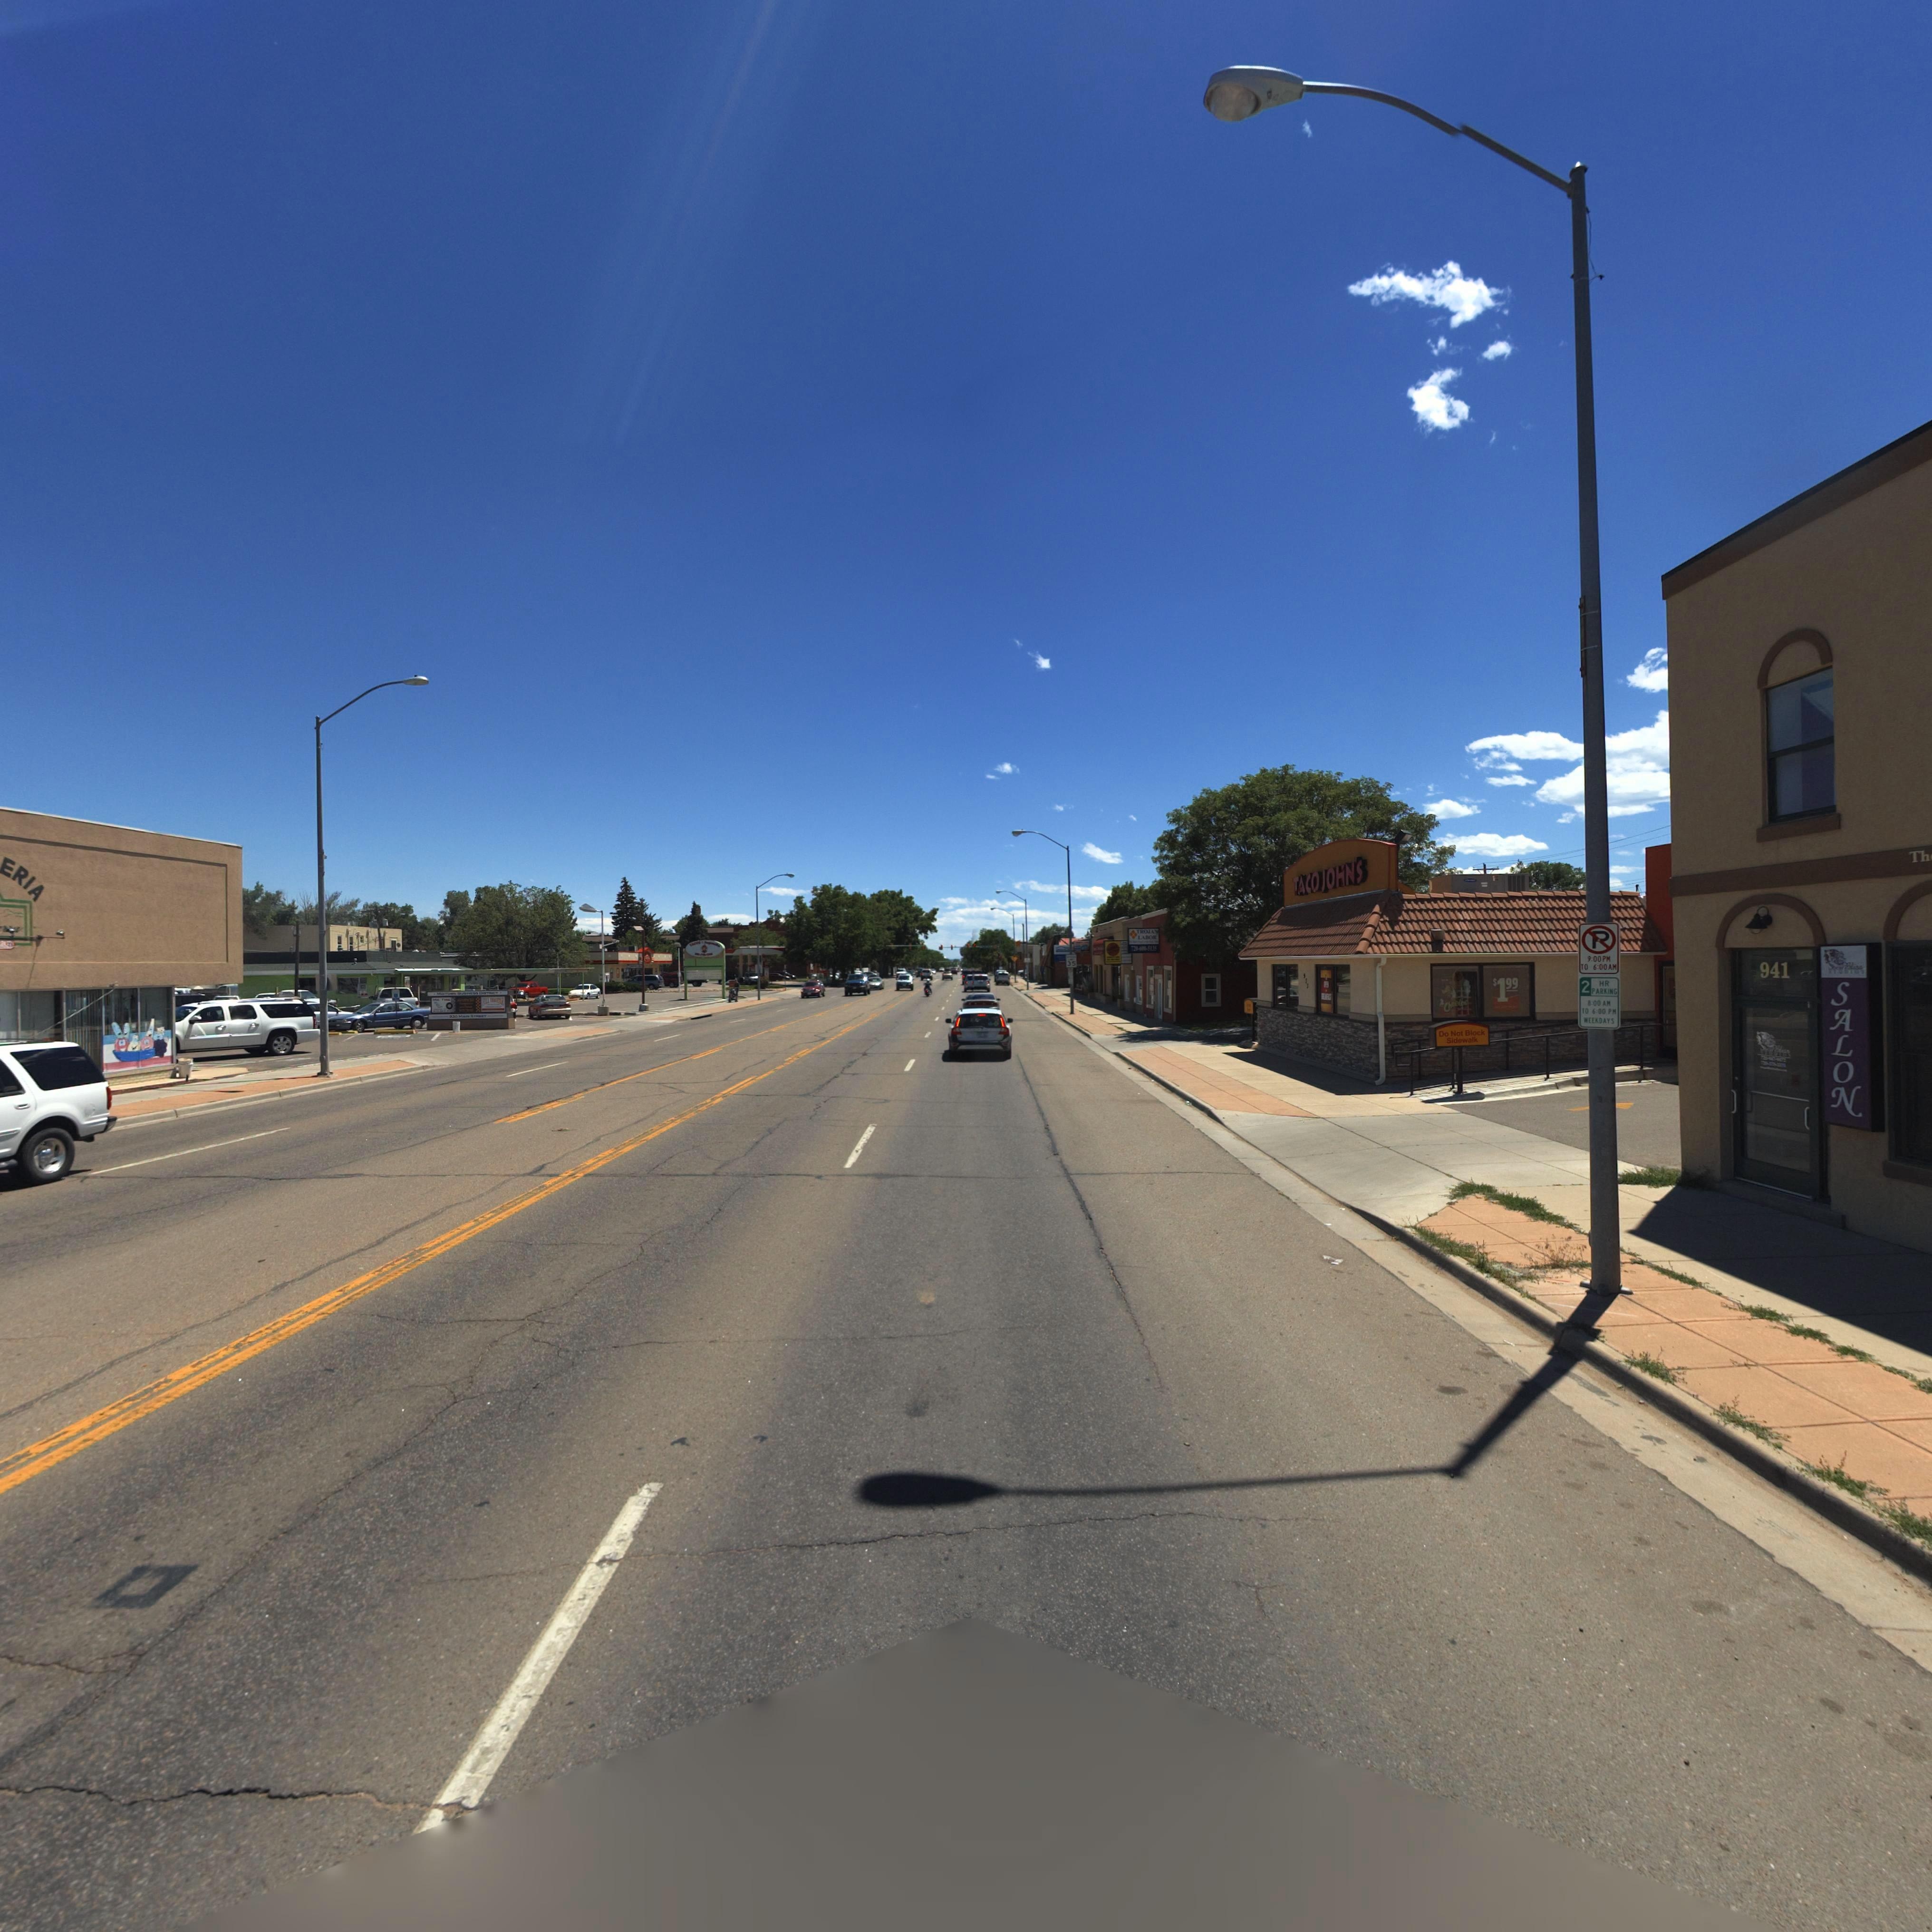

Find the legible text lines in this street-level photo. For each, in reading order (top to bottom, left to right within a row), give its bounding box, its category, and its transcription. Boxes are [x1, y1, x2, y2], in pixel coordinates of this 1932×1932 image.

[1292, 856, 1369, 896] BusinessName: TACO JOHN"S
[1136, 929, 1159, 934] BusinessName: TROJAN
[1138, 935, 1157, 939] BusinessName: LABOR
[689, 940, 721, 947] BusinessName: TACOS * Fogoncito
[1759, 960, 1790, 979] StreetNumber: 941
[1828, 967, 1865, 975] BusinessName: STUDIOS
[1303, 973, 1309, 989] StreetNumber: 933
[449, 1014, 457, 1018] StreetNumber: 930
[458, 1014, 487, 1017] StreetName: MAIN STREET
[1759, 1050, 1791, 1057] BusinessName: STUDIOS